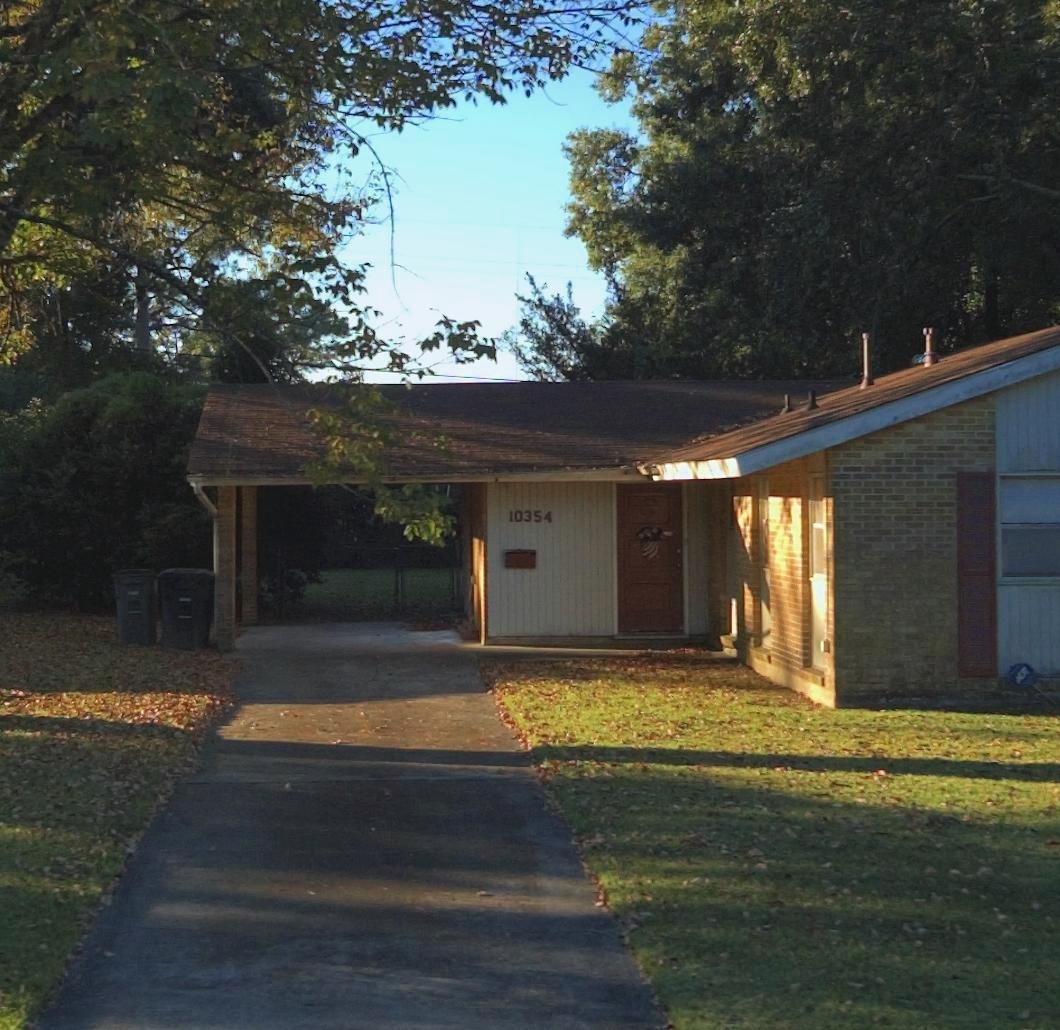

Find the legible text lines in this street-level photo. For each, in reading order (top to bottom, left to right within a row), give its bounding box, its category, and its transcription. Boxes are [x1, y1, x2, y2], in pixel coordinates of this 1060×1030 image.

[507, 508, 554, 525] StreetNumber: 10354